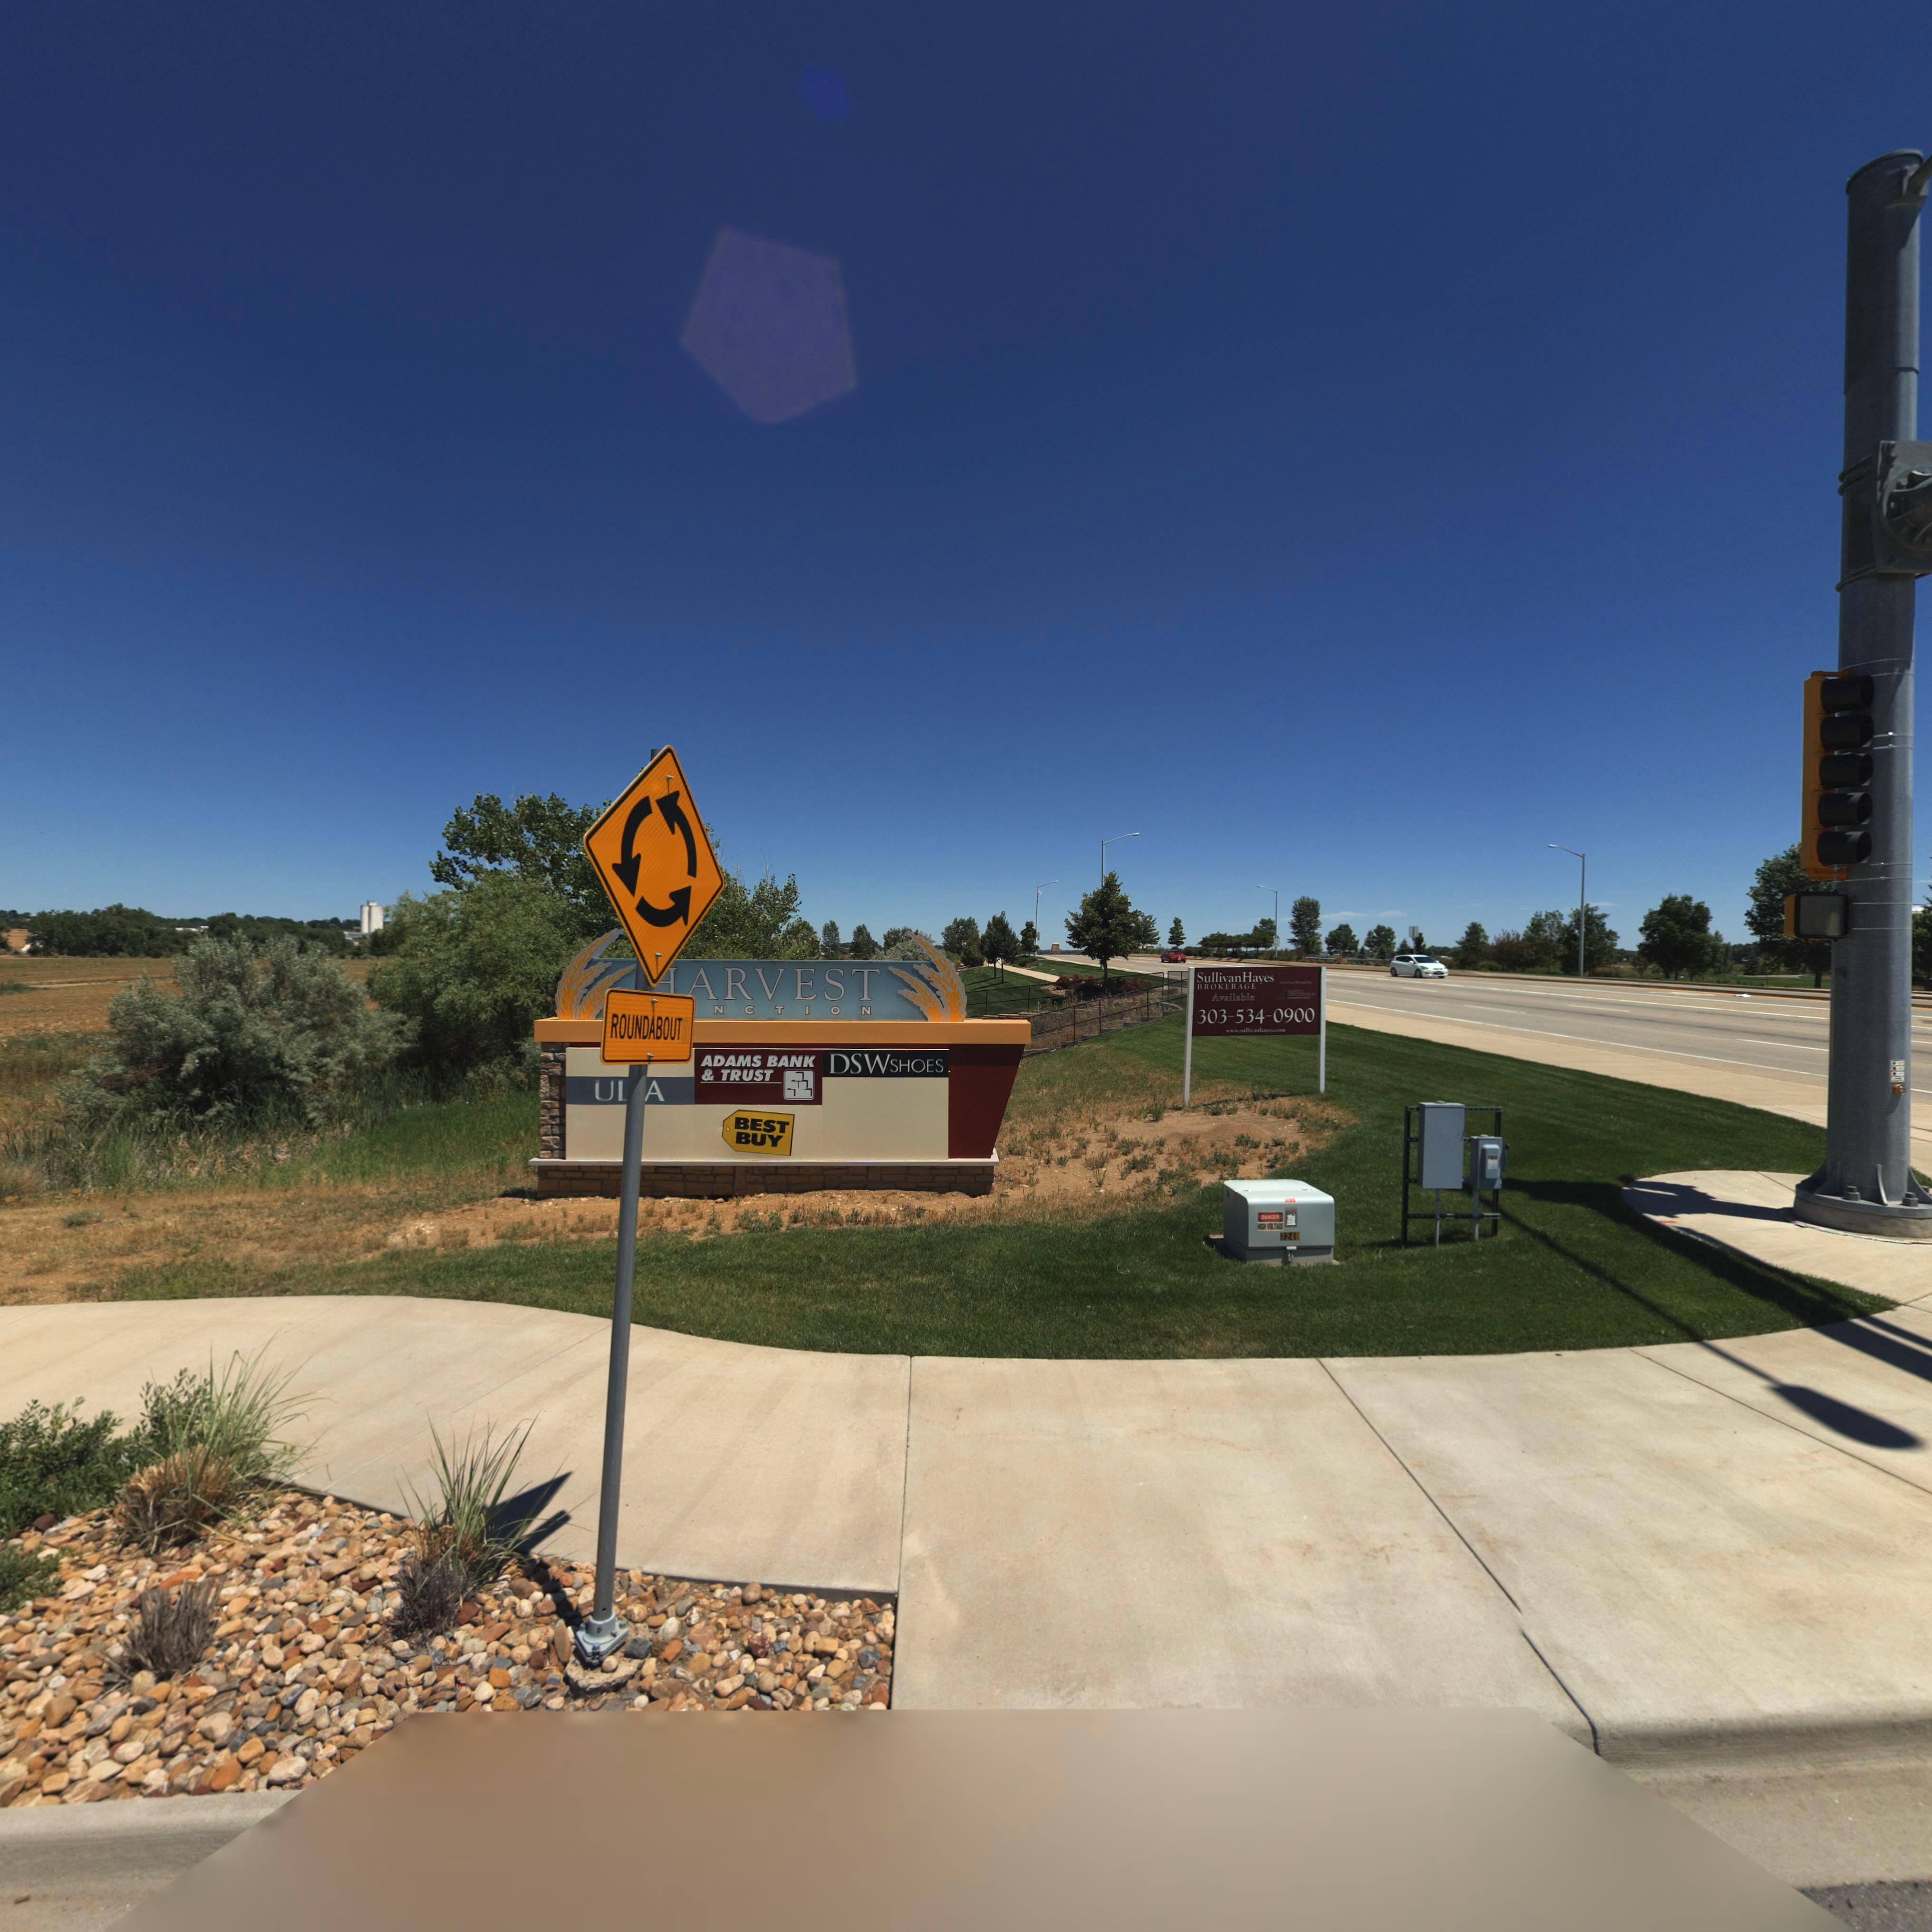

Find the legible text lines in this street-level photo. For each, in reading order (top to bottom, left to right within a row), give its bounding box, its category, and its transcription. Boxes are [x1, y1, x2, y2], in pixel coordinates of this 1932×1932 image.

[700, 1053, 816, 1067] BusinessName: ADAMS BANK
[829, 1053, 892, 1074] BusinessName: DSW
[890, 1058, 944, 1072] BusinessName: SHOES
[701, 1068, 773, 1081] BusinessName: & TRUST
[594, 1079, 666, 1102] BusinessName: UL*A
[734, 1116, 790, 1133] BusinessName: BEST
[735, 1131, 783, 1147] BusinessName: BUY